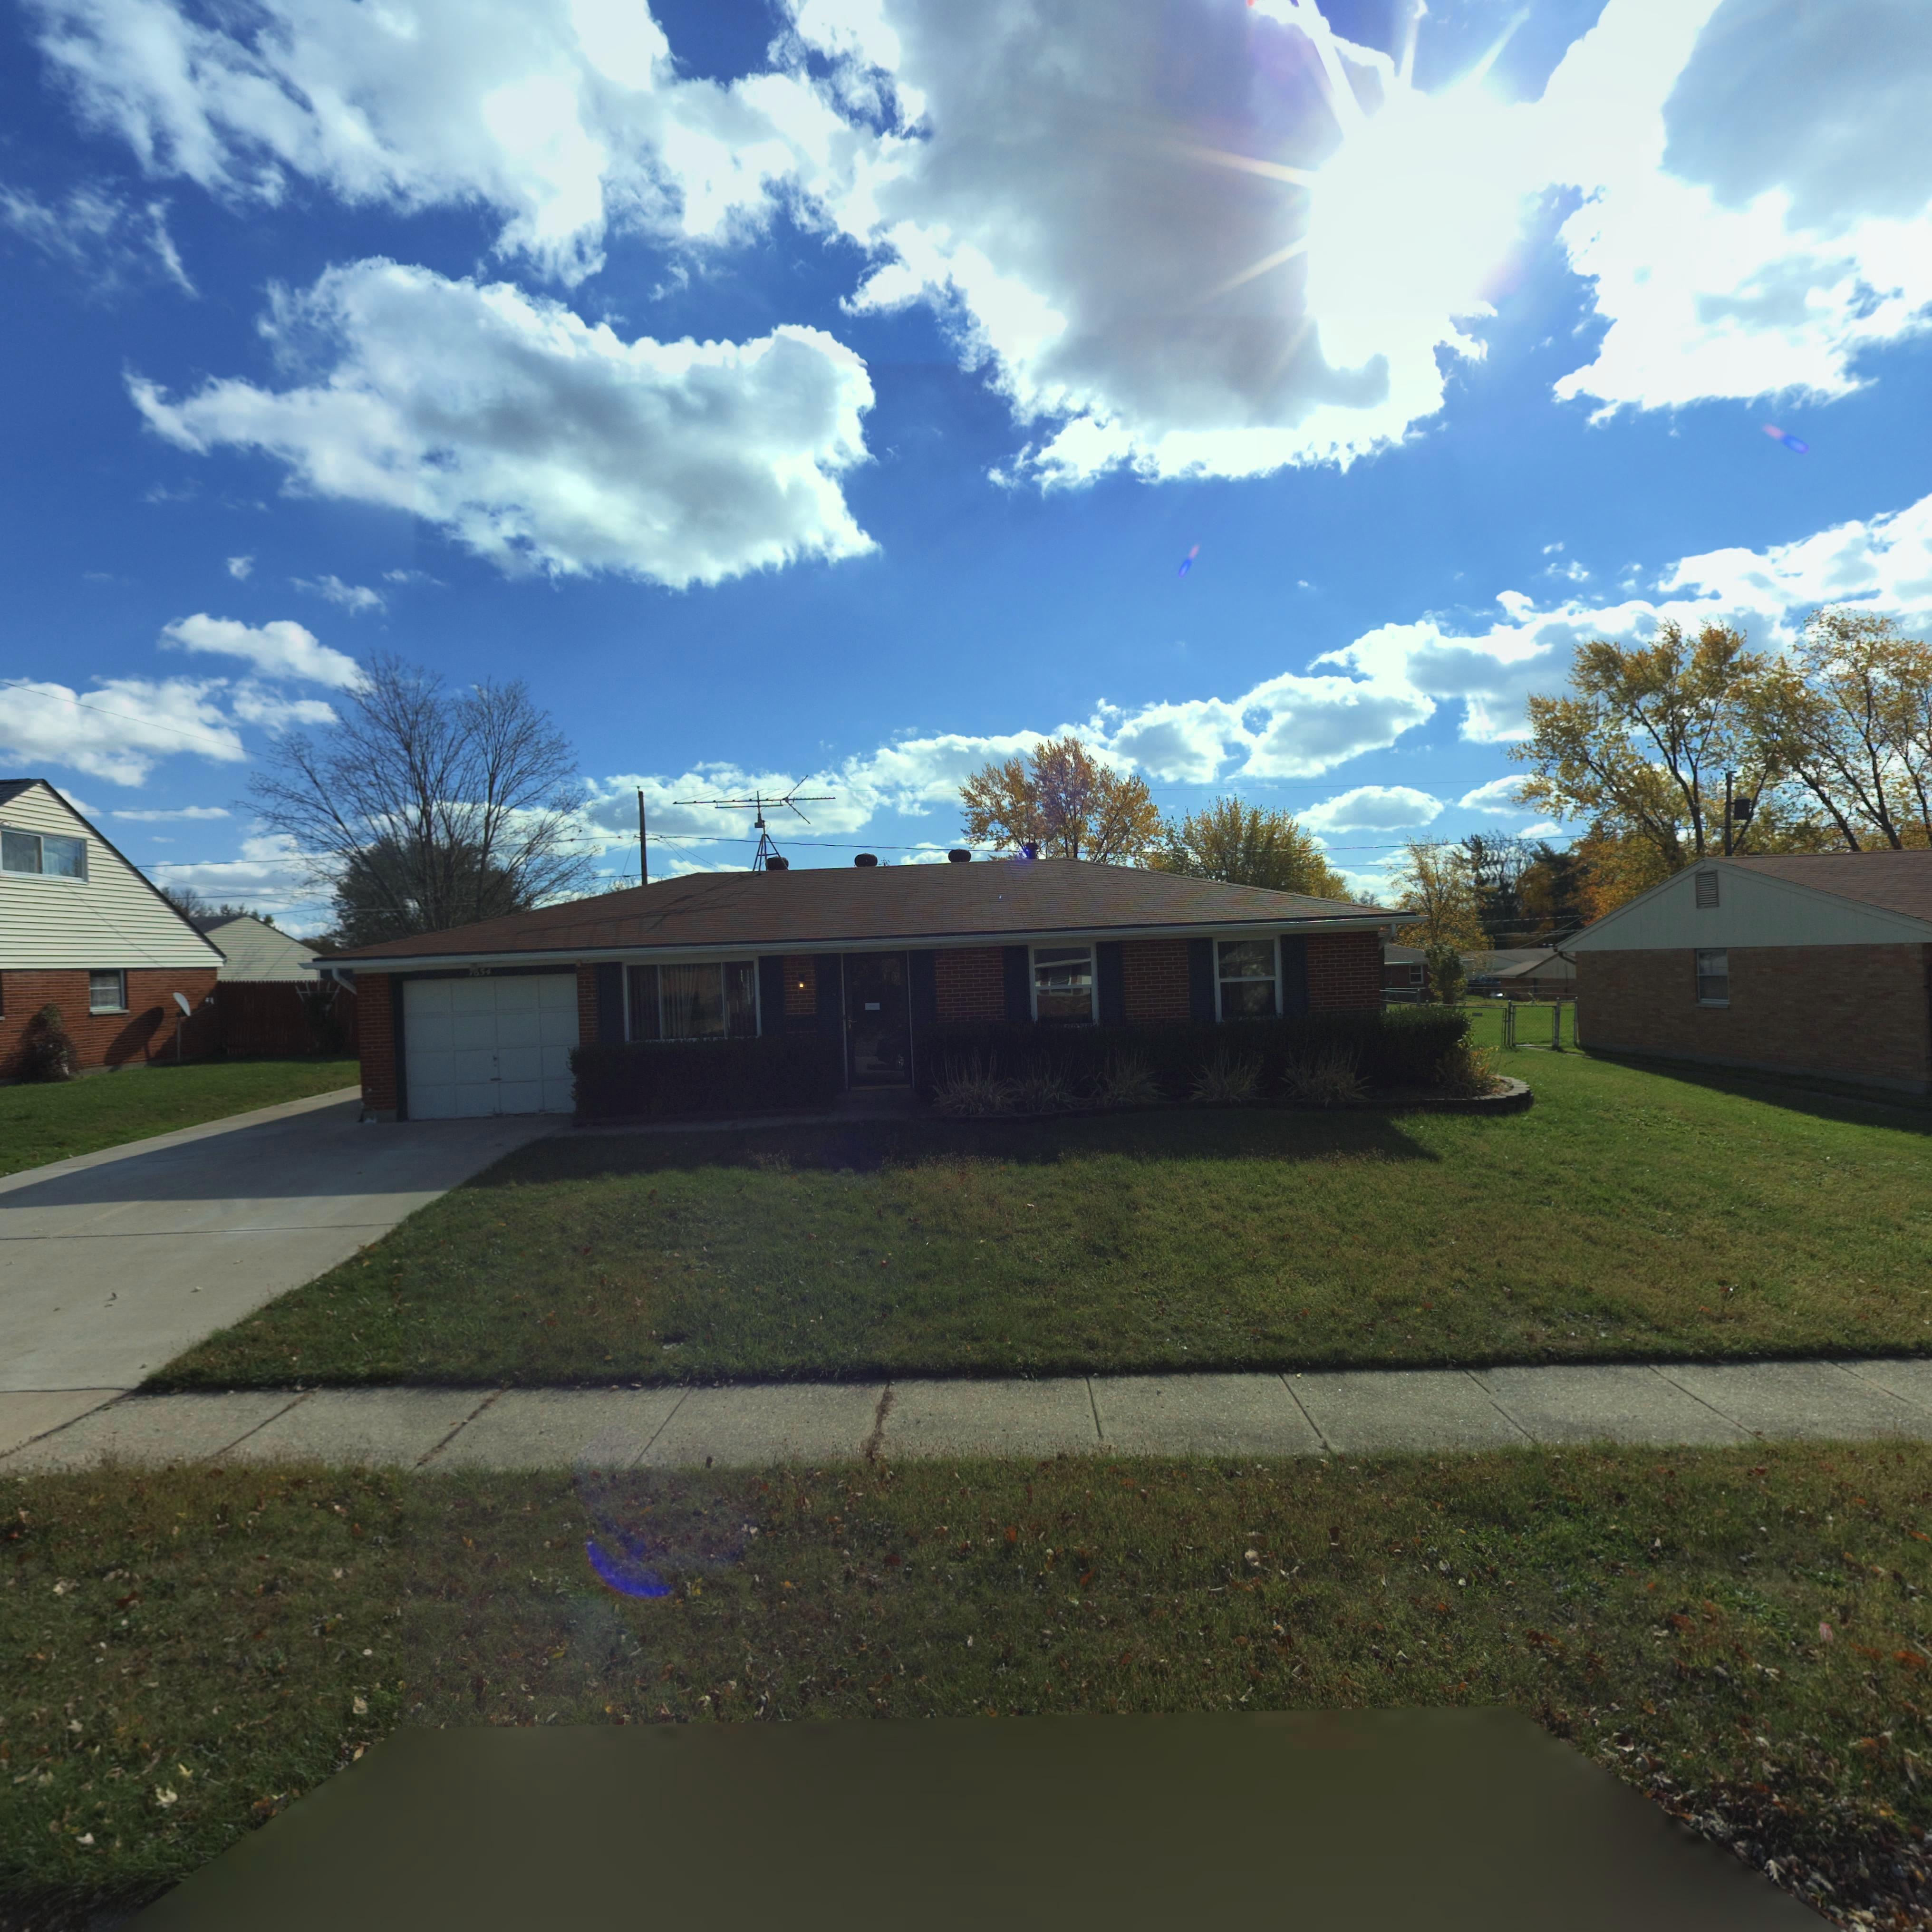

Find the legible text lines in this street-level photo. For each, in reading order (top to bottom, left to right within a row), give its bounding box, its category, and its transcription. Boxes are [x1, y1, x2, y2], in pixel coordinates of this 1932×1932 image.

[469, 967, 492, 977] StreetNumber: 7654